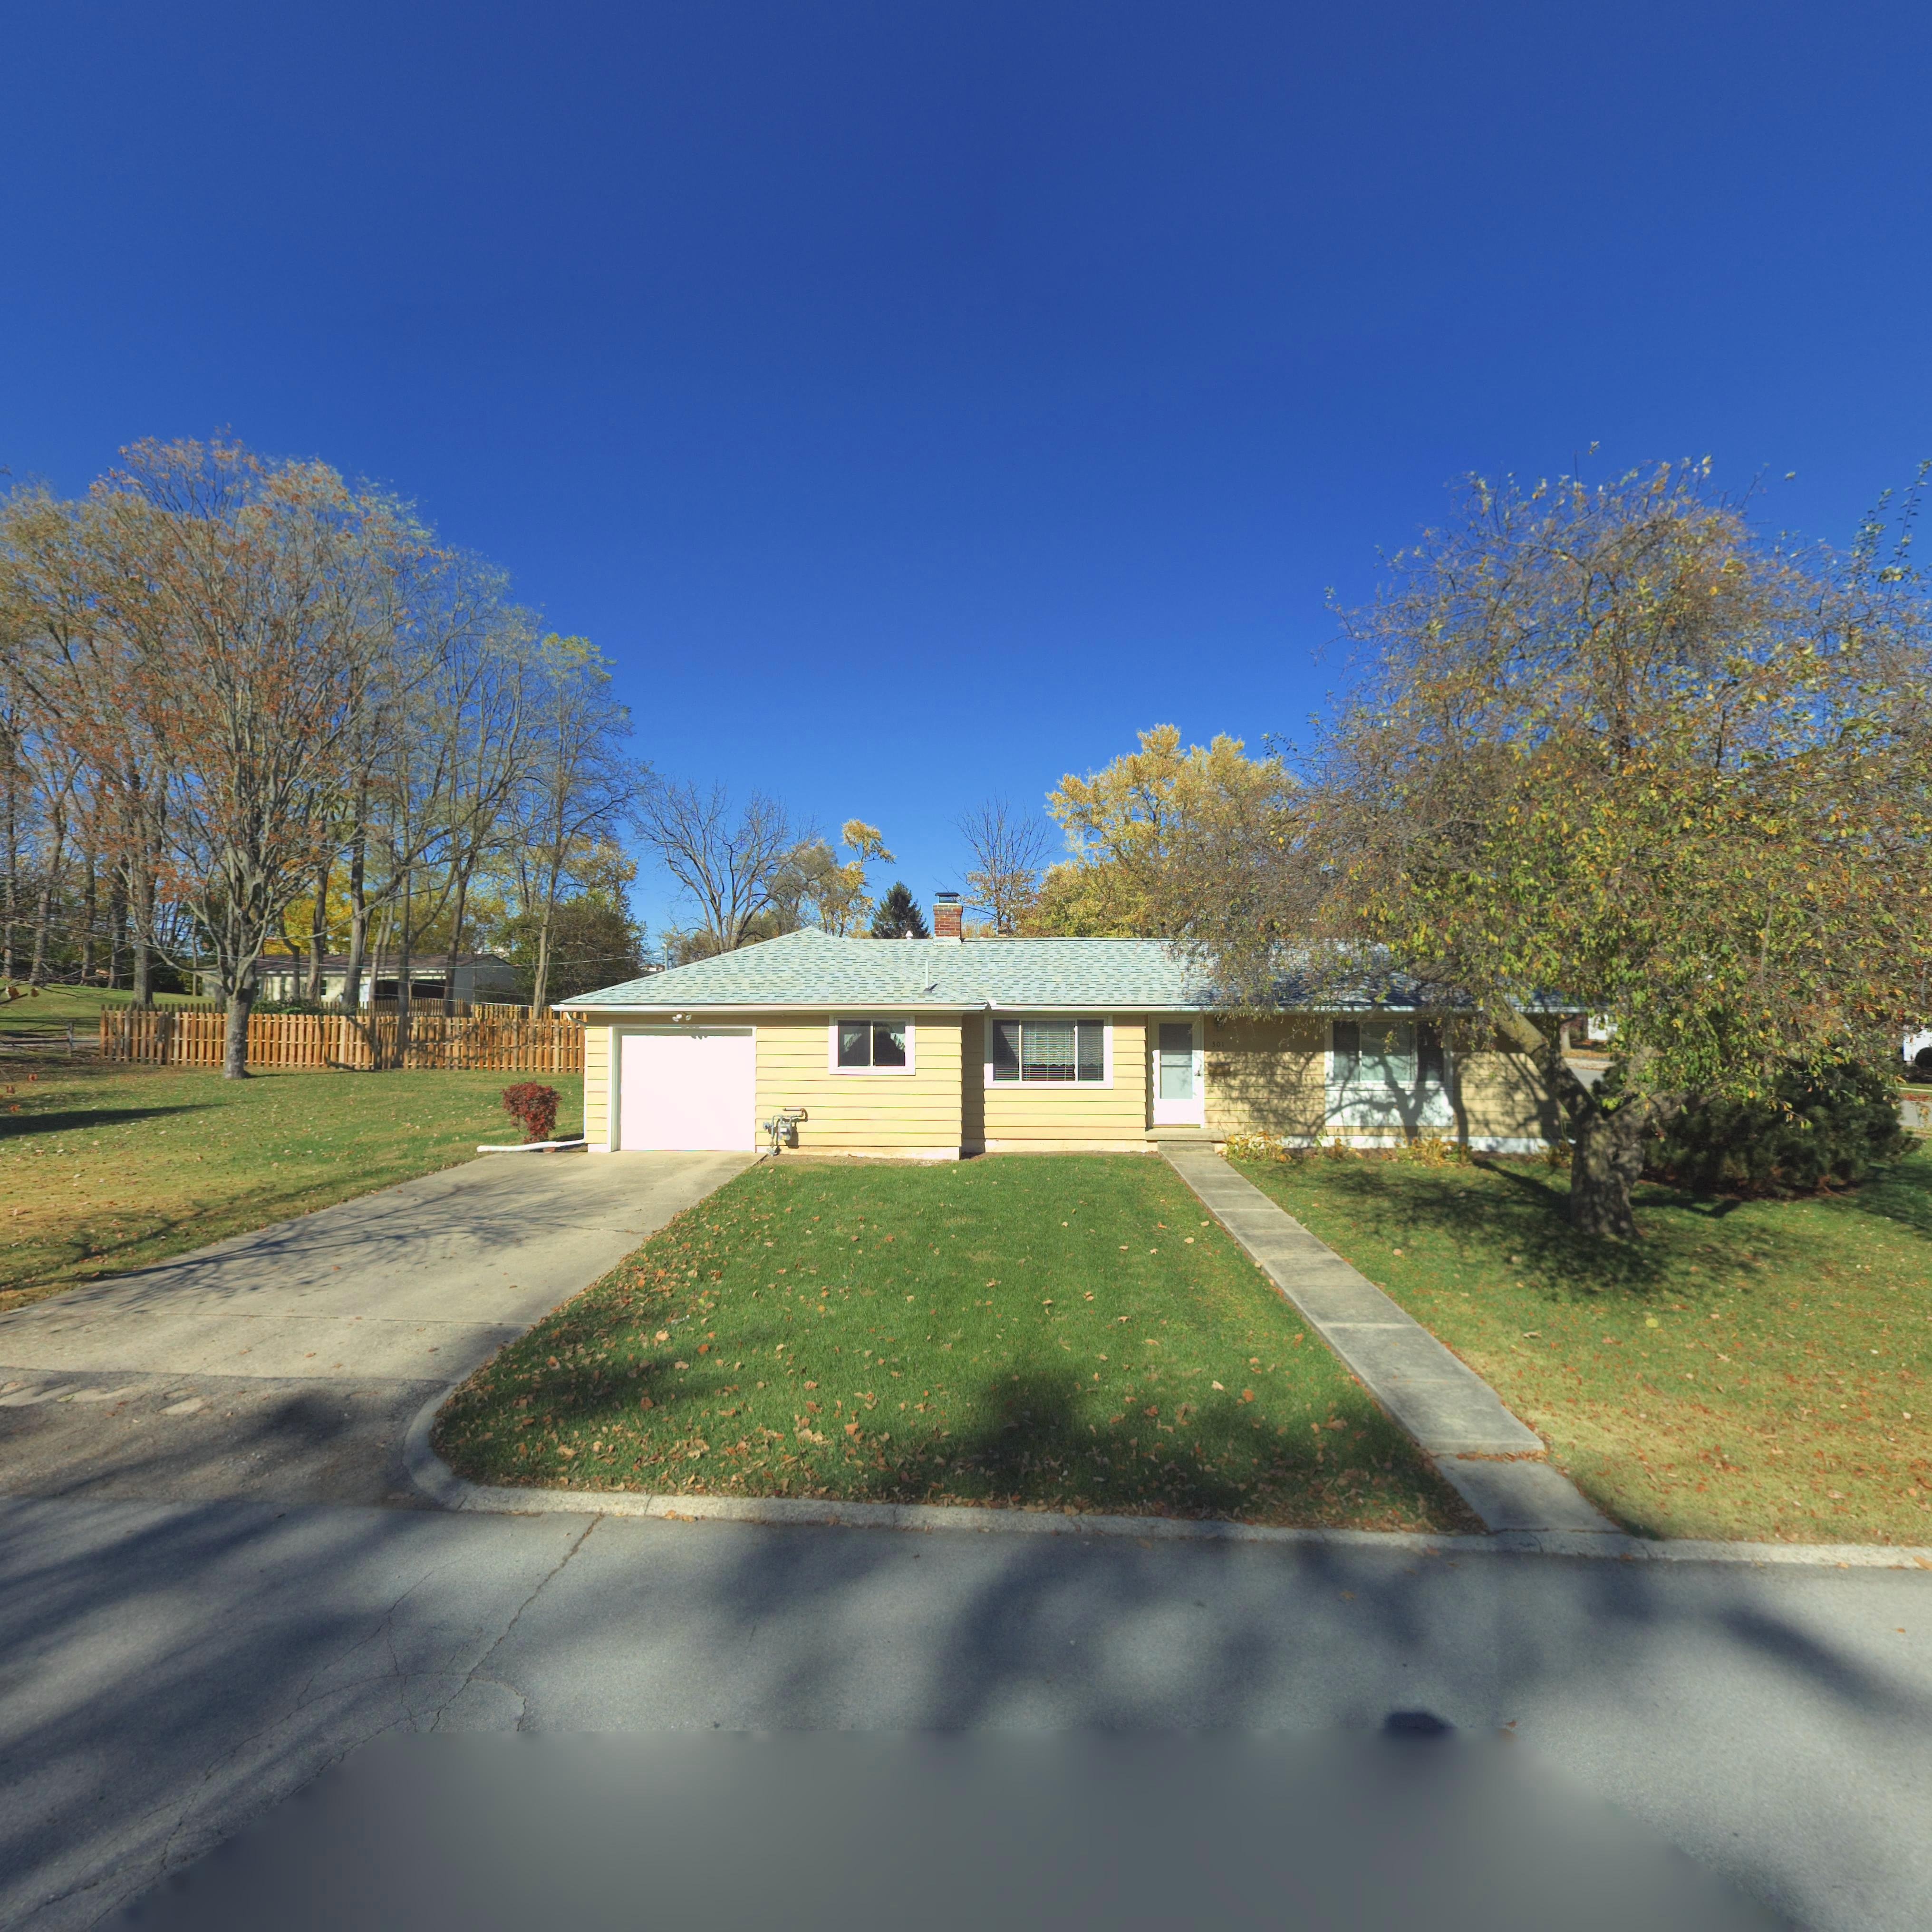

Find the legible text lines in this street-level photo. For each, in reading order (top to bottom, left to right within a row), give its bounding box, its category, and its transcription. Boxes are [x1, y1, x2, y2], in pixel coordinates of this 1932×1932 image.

[1211, 1041, 1224, 1047] StreetNumber: 301